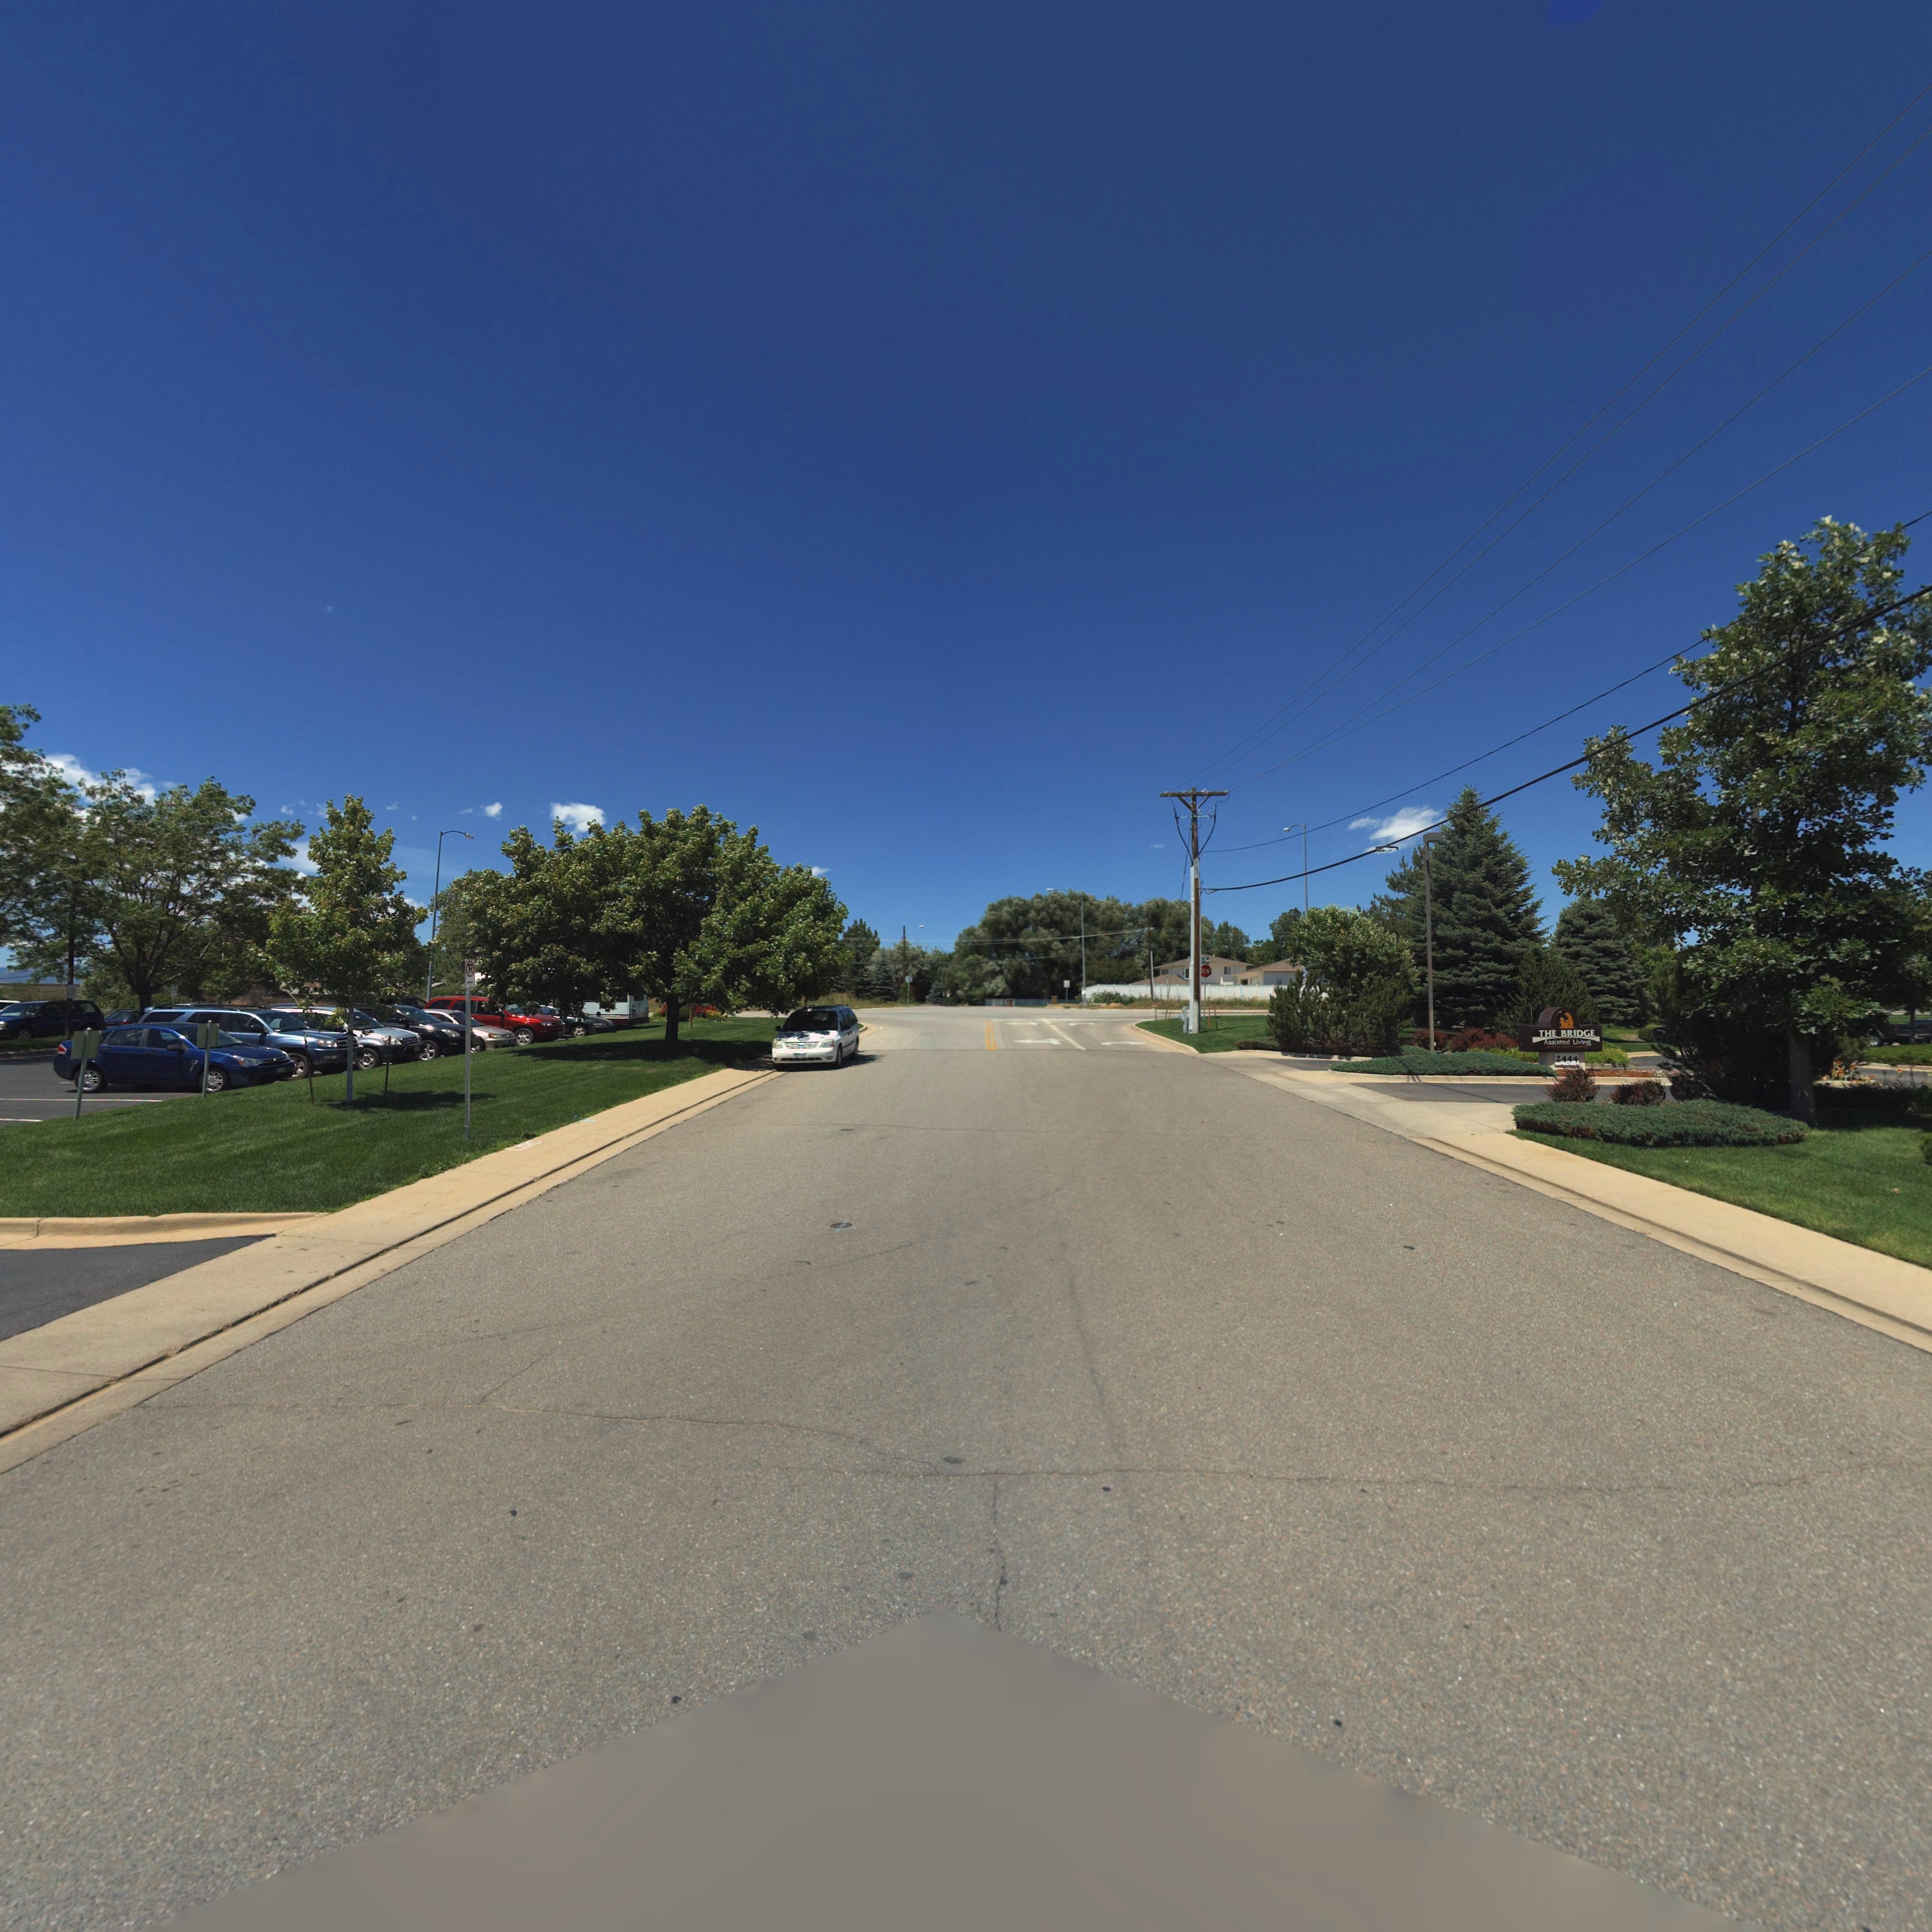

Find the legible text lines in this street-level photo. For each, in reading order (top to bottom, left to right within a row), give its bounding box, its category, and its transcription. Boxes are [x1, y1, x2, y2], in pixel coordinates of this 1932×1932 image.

[1538, 1029, 1595, 1037] BusinessName: THE BRIDGE
[1543, 1038, 1592, 1047] BusinessName: Assisted Living
[1555, 1054, 1579, 1063] StreetNumber: 2444